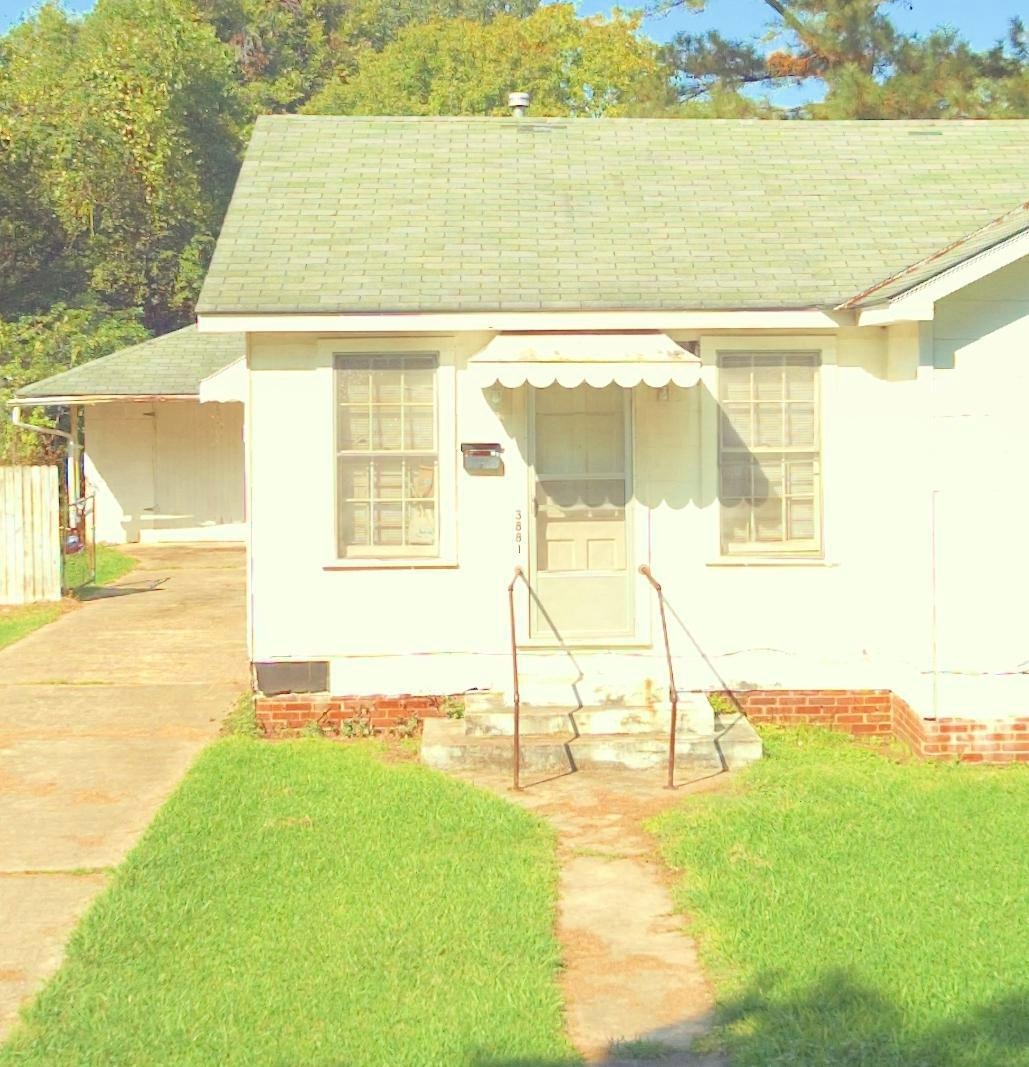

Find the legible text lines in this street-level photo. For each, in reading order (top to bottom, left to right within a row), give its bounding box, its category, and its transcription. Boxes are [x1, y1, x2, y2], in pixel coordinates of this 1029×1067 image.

[514, 508, 523, 555] StreetNumber: 3881